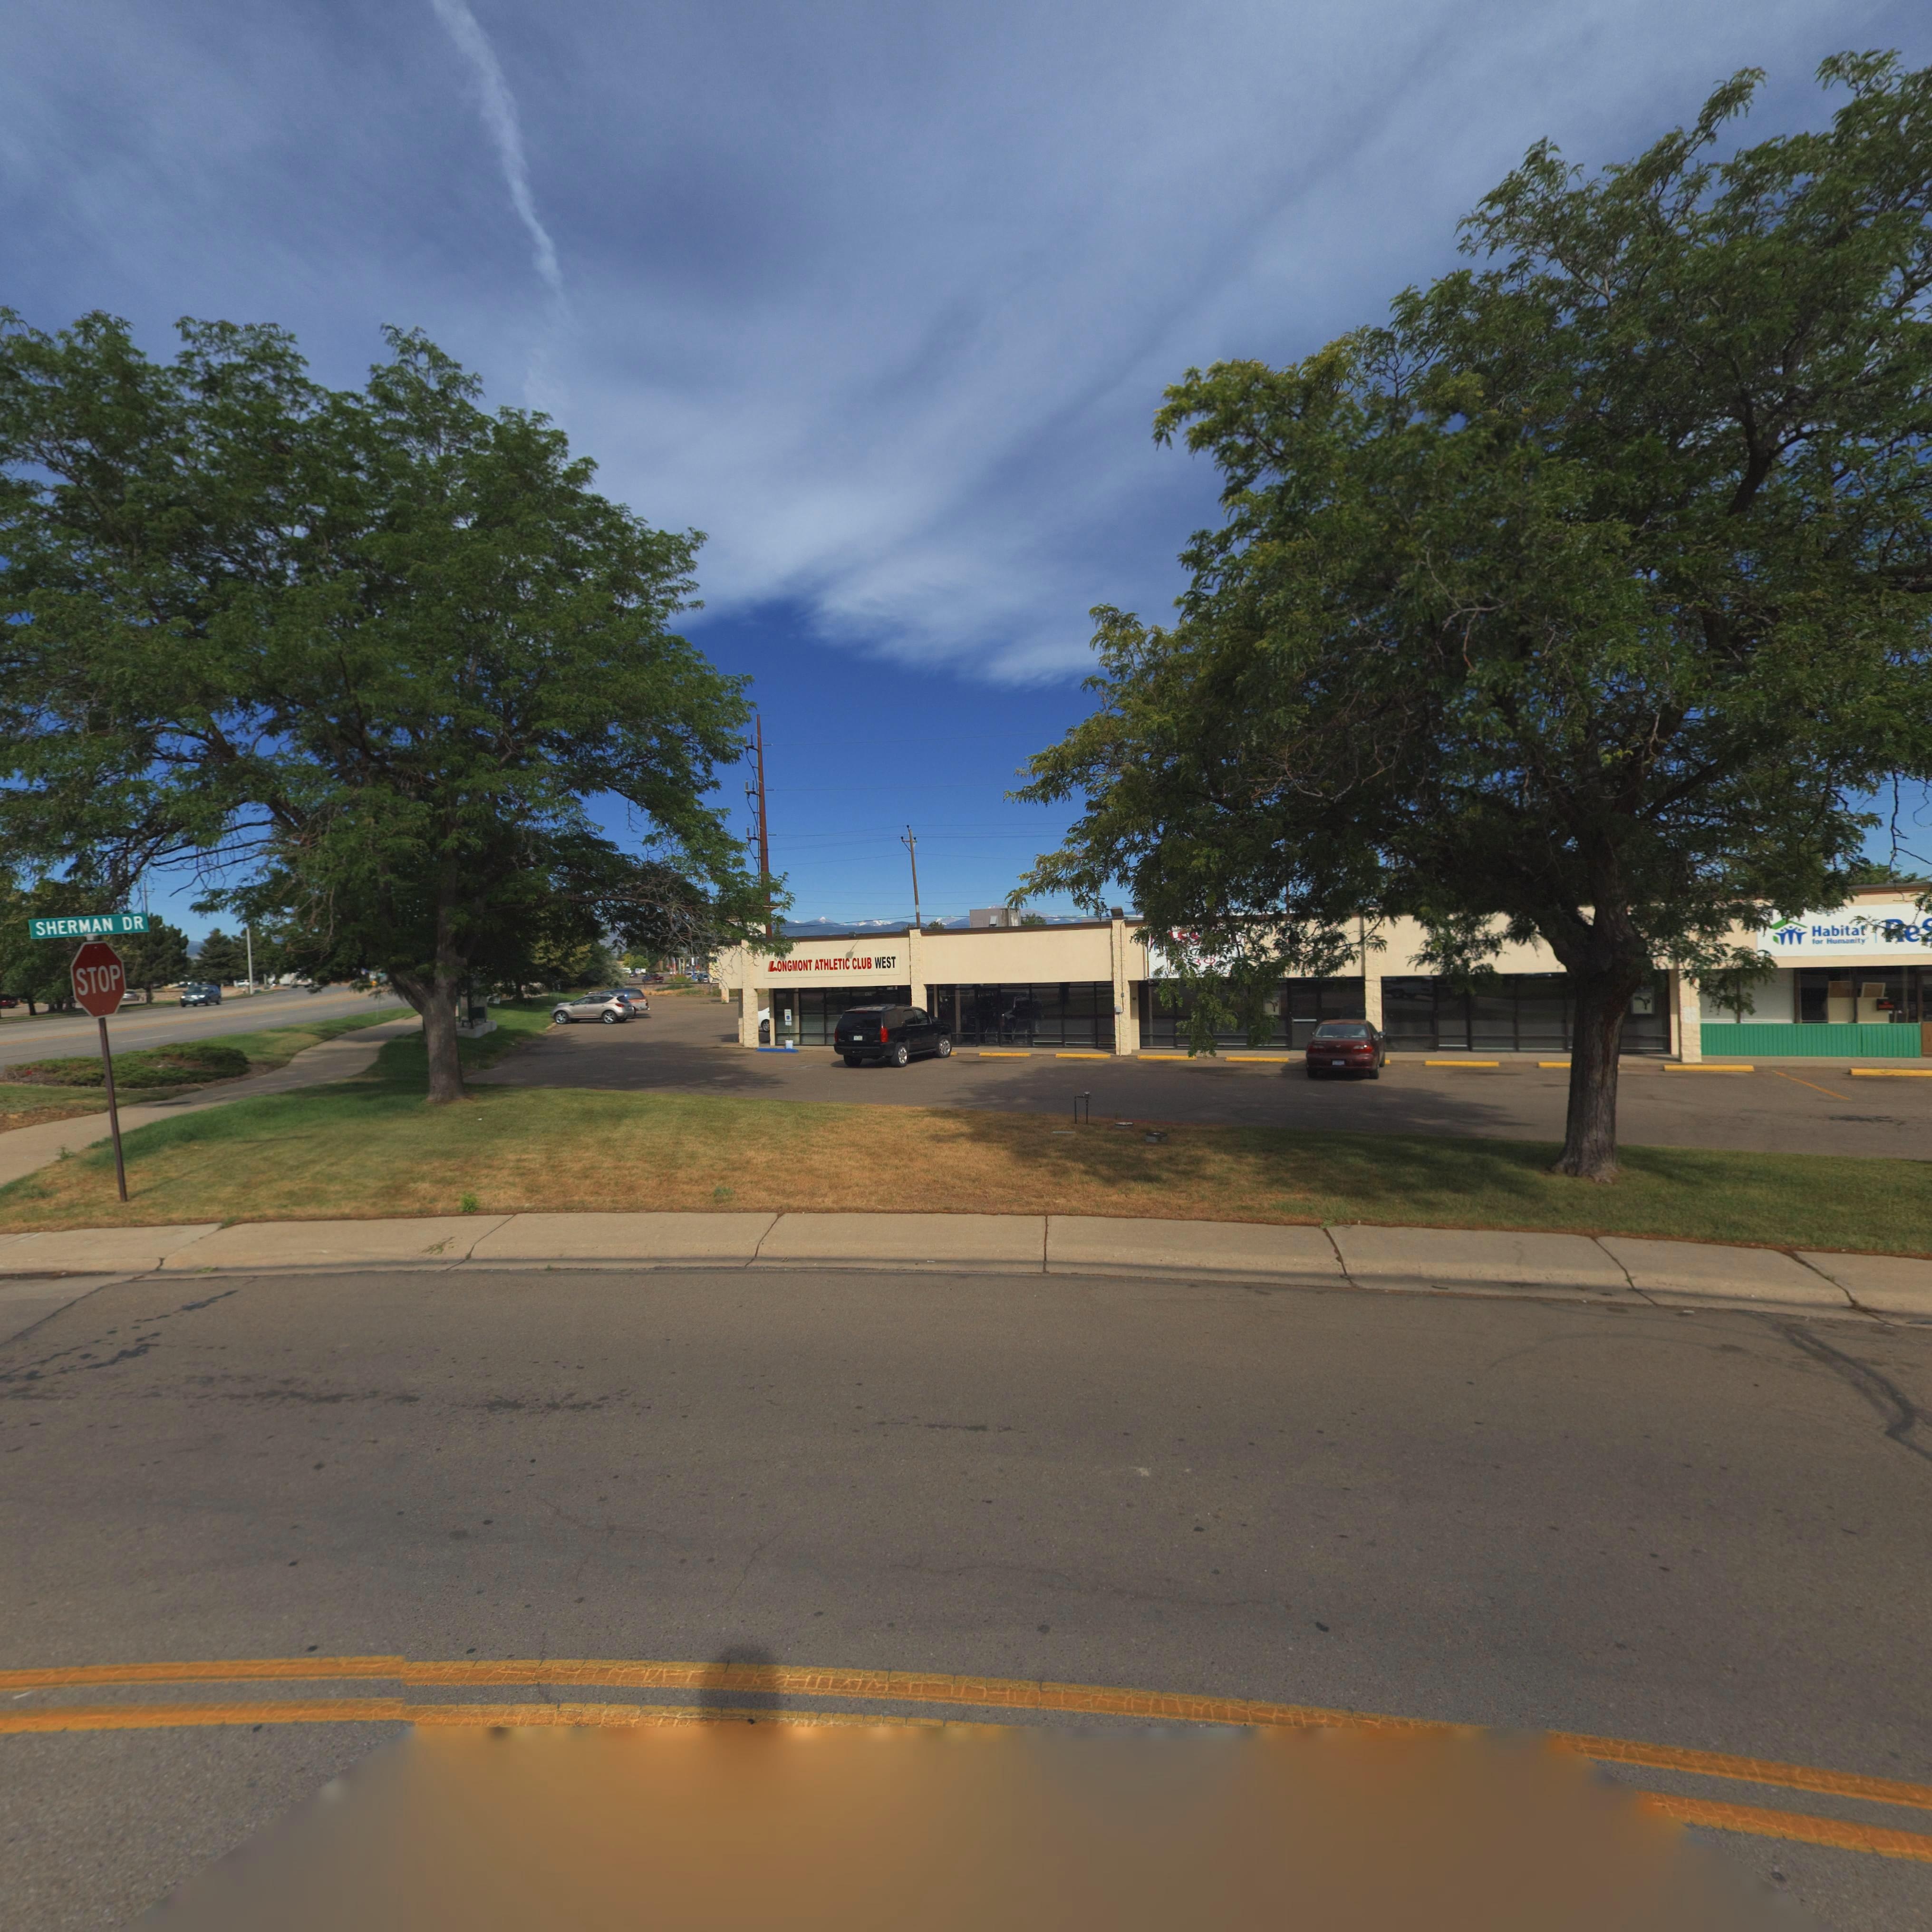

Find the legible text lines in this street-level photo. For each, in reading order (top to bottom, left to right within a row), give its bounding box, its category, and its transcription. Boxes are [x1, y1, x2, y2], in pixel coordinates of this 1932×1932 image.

[35, 915, 145, 936] StreetName: SHERMAN DR
[1811, 924, 1866, 937] BusinessName: Habitat
[1884, 918, 1921, 942] BusinessName: Re
[1811, 937, 1866, 946] BusinessName: for Humanity
[767, 956, 896, 972] BusinessName: LONGMONT ATHLETIC CLUB WEST